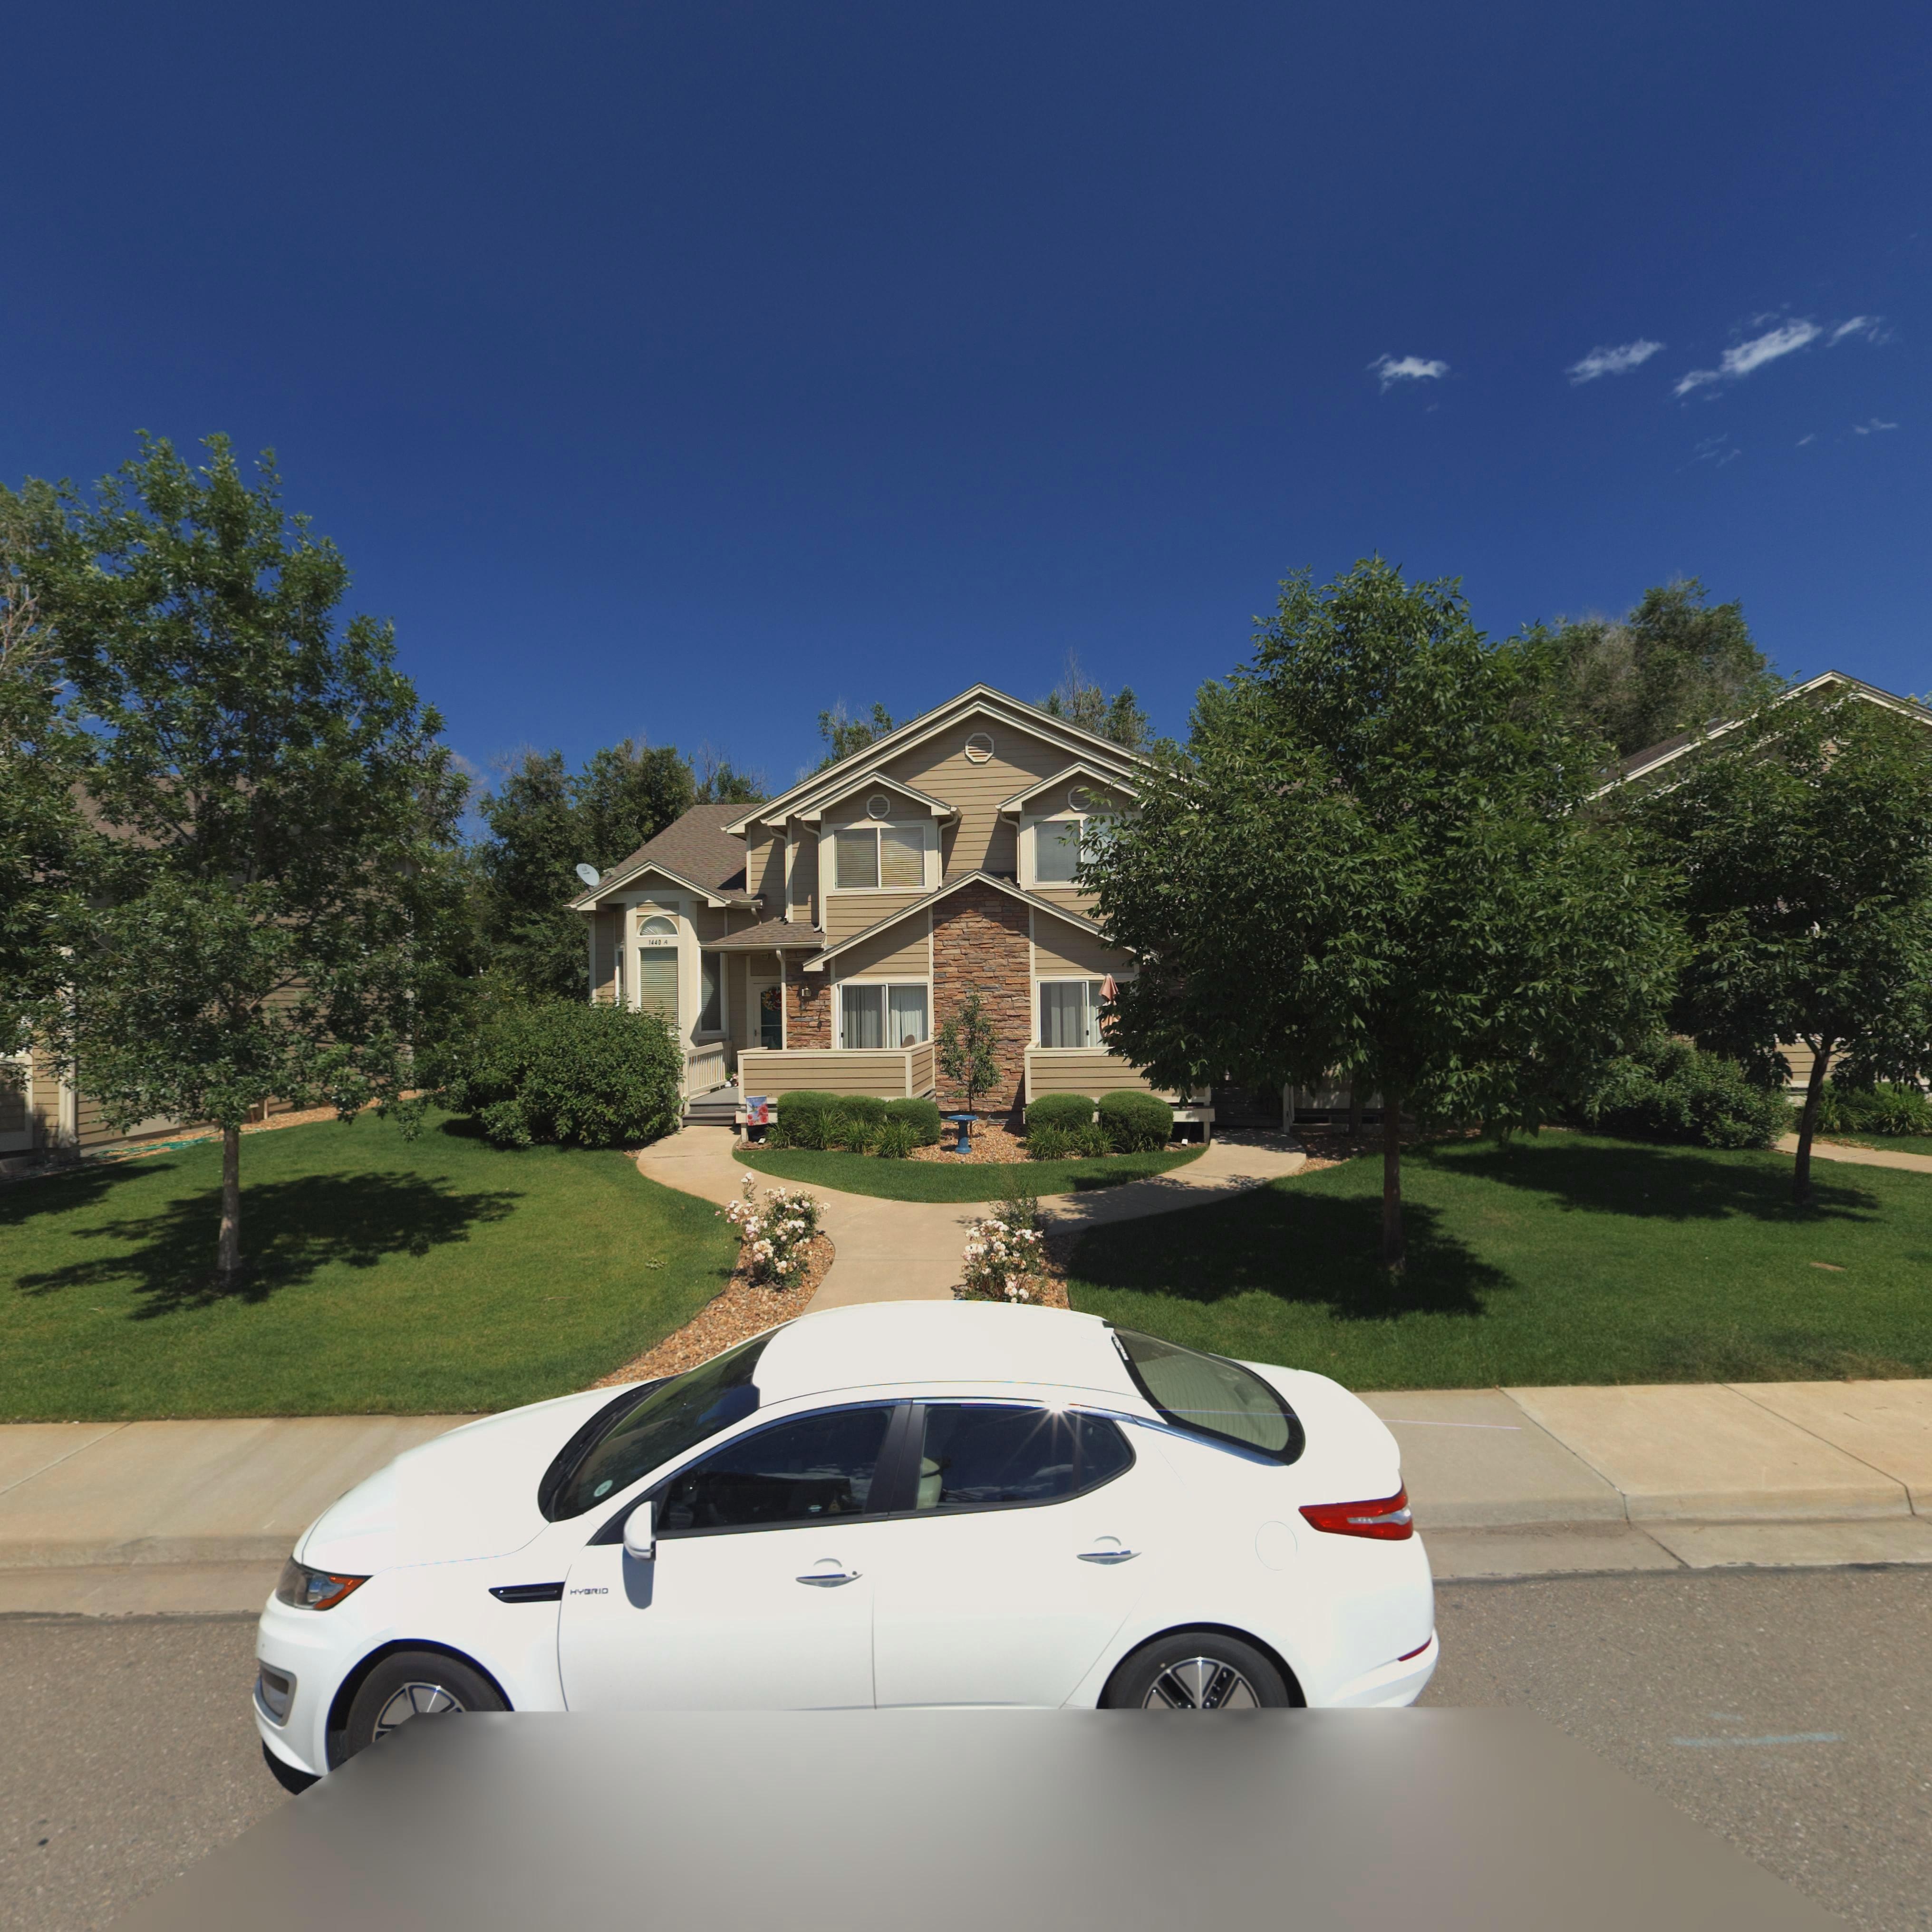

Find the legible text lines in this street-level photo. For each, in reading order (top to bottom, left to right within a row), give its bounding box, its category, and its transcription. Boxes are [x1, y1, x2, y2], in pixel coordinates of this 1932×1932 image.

[648, 939, 667, 945] StreetNumber: 1440 A